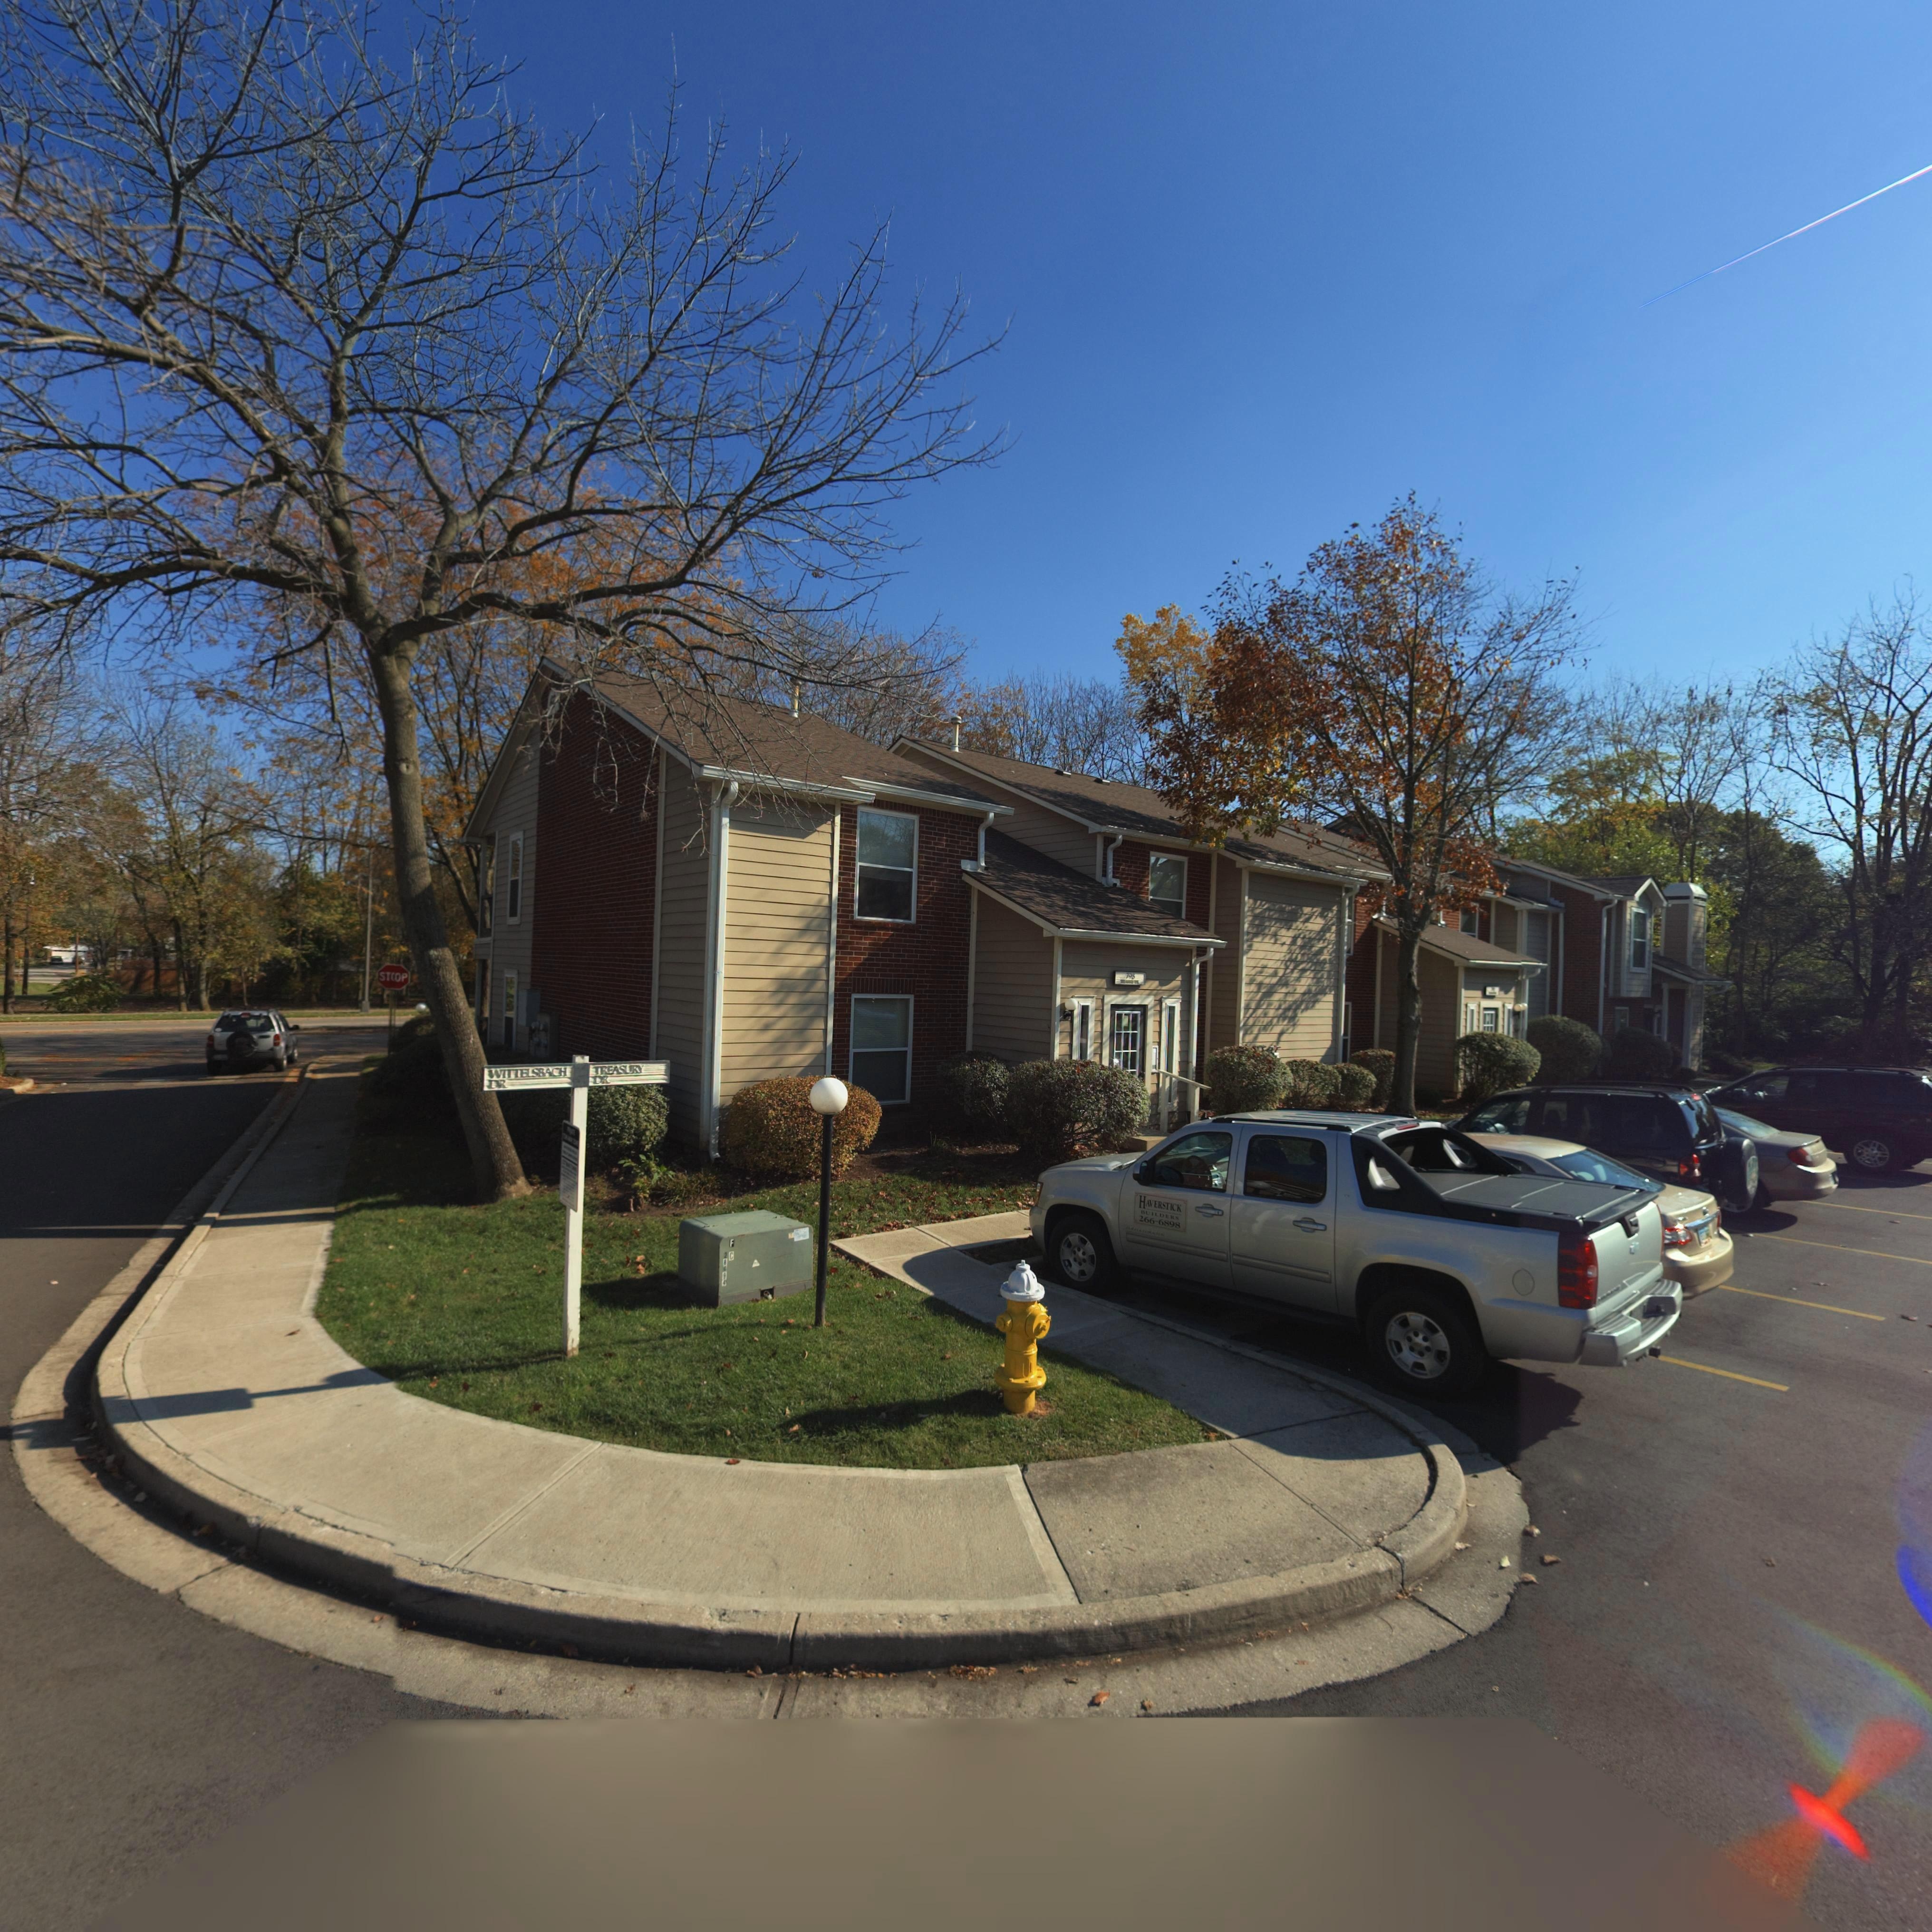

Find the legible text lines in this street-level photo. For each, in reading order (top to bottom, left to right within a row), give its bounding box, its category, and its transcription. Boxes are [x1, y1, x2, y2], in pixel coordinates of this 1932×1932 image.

[378, 971, 408, 983] None: ST*OP
[1126, 972, 1136, 980] StreetNumber: 798
[488, 1067, 567, 1079] StreetName: WITTELSBACH
[593, 1064, 645, 1075] StreetName: TREASURY
[488, 1079, 507, 1090] StreetName: DR
[594, 1075, 609, 1084] StreetName: DR
[1138, 1194, 1182, 1213] None: HAVERSTICK
[1140, 1209, 1179, 1220] None: BUILDERS
[1139, 1215, 1181, 1230] None: 266-6898
[729, 1238, 734, 1248] None: F
[729, 1252, 734, 1260] None: C
[723, 1252, 728, 1286] None: 28**4